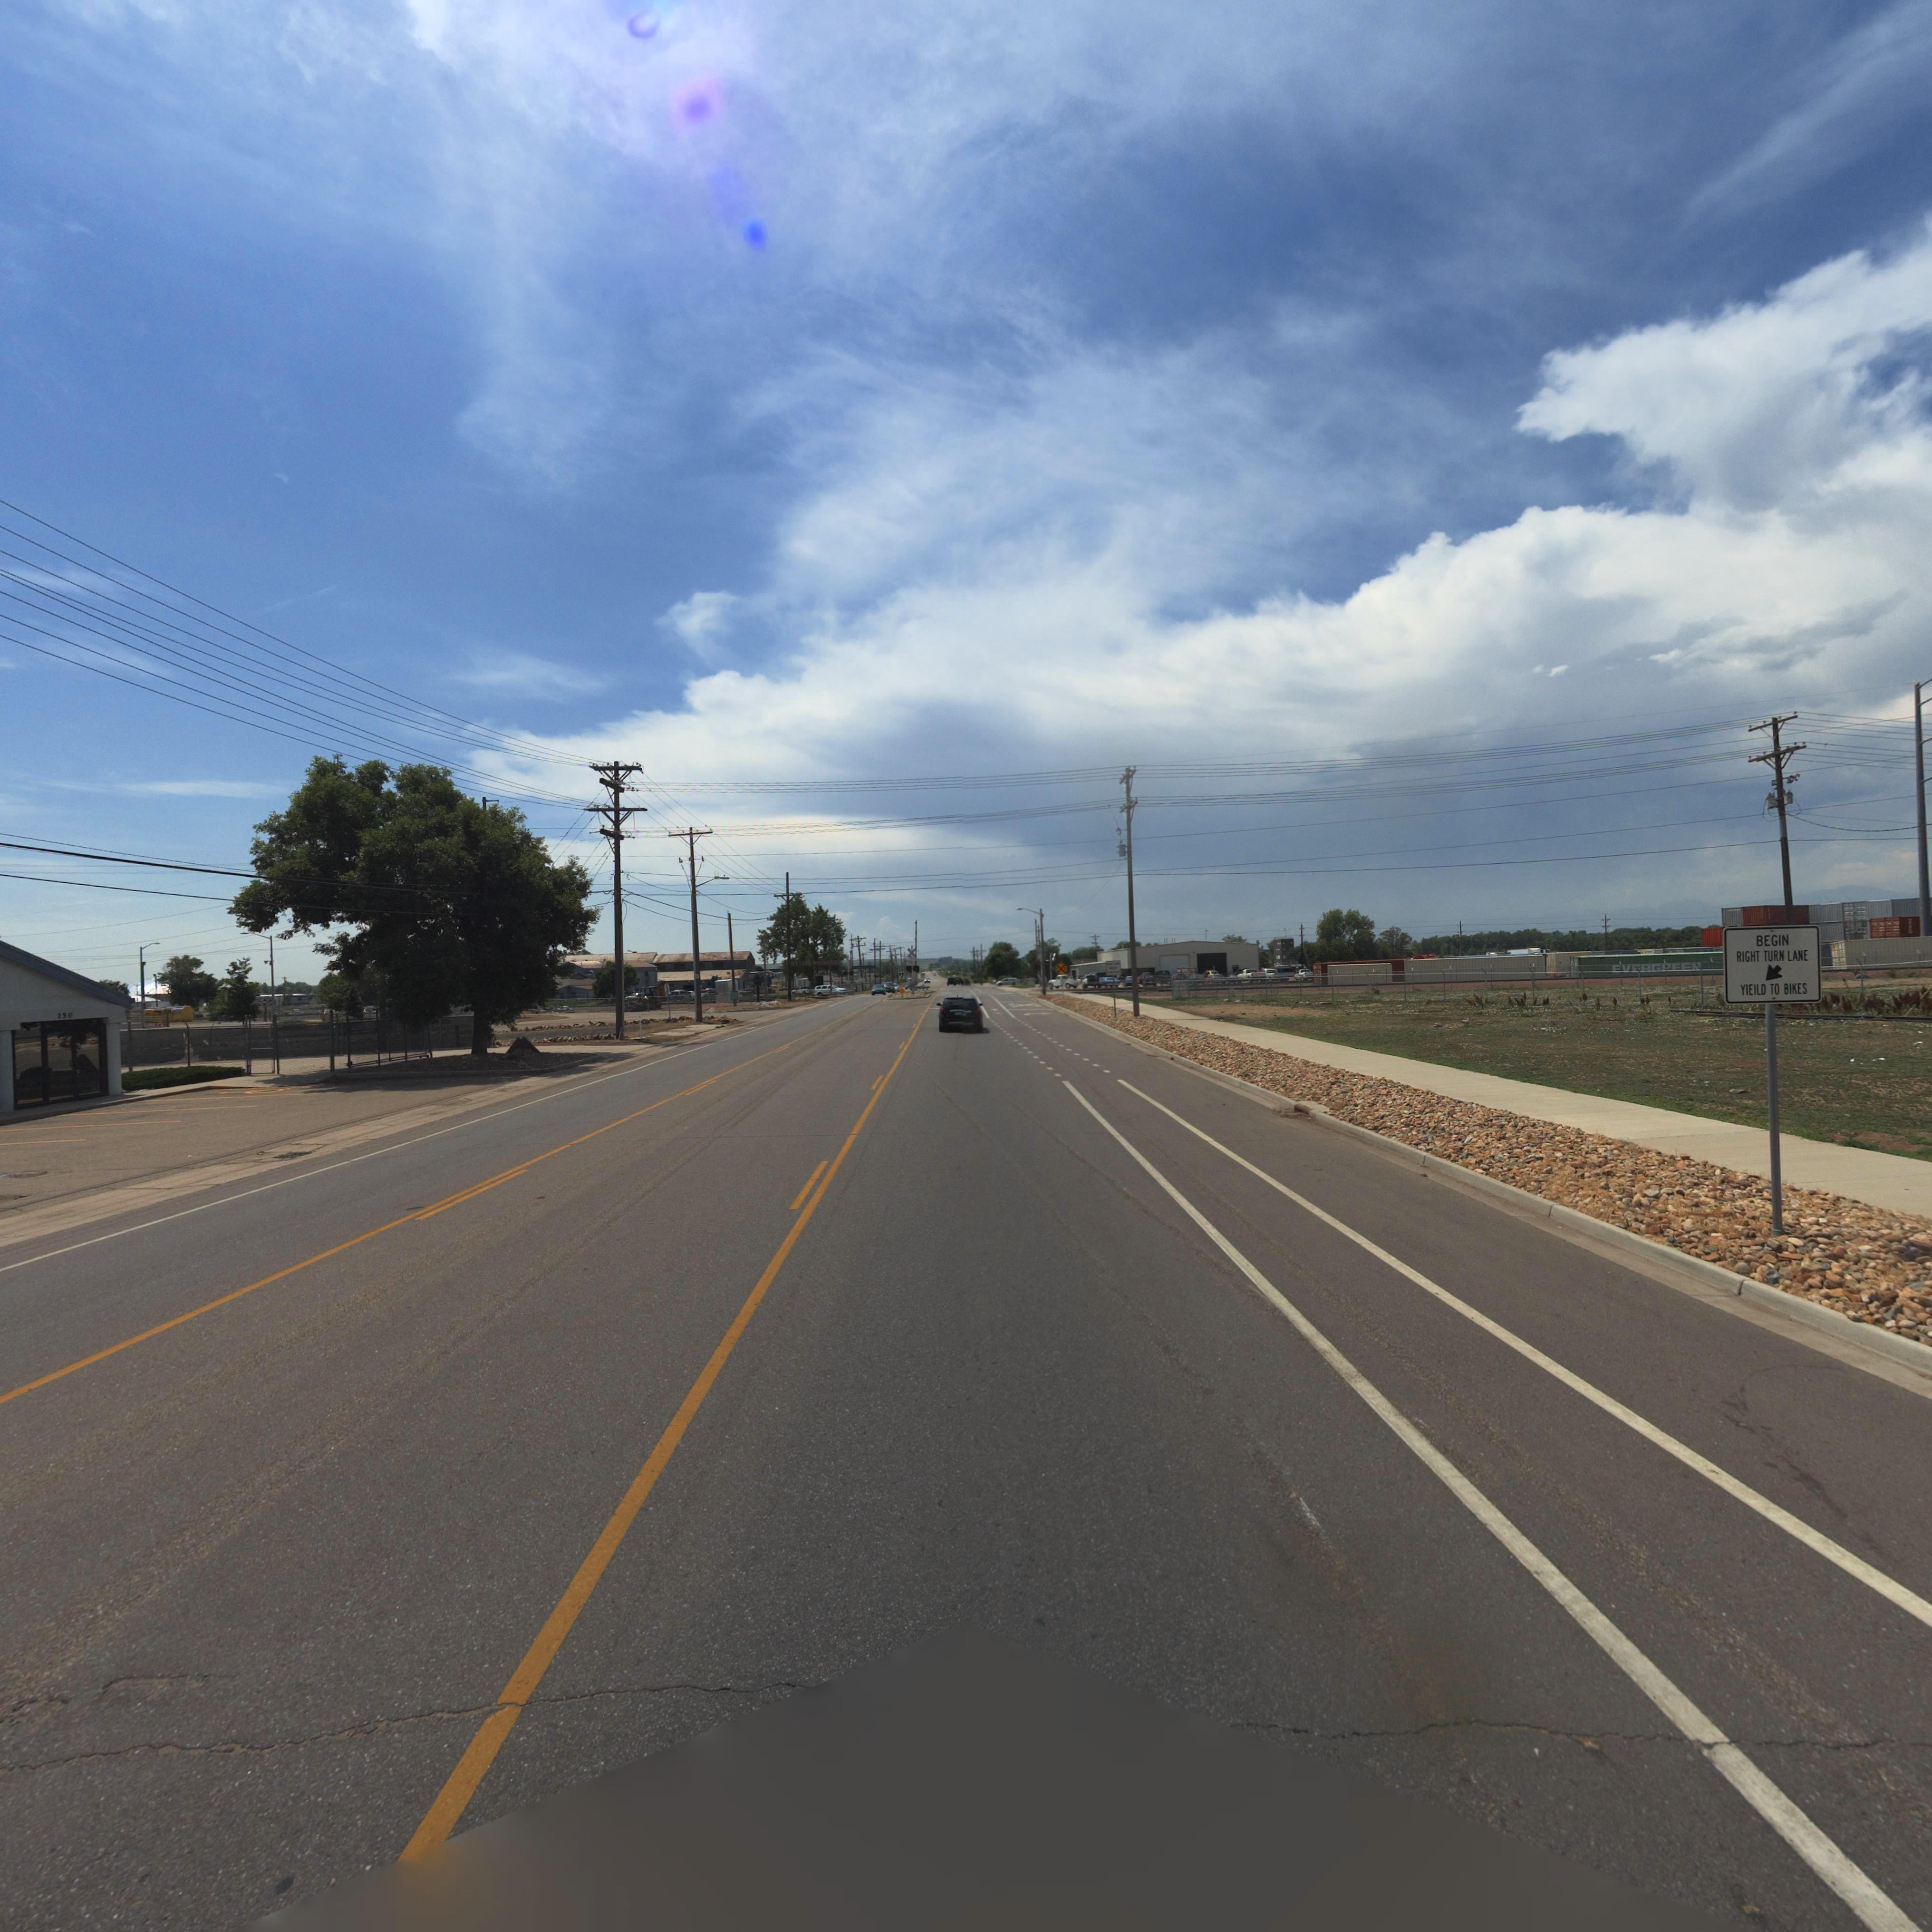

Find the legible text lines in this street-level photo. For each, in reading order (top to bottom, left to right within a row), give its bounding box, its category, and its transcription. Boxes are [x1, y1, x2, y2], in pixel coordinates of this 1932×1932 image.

[792, 959, 841, 966] BusinessName: ESTERN FOUNDARIES
[58, 1012, 73, 1019] StreetNumber: 150